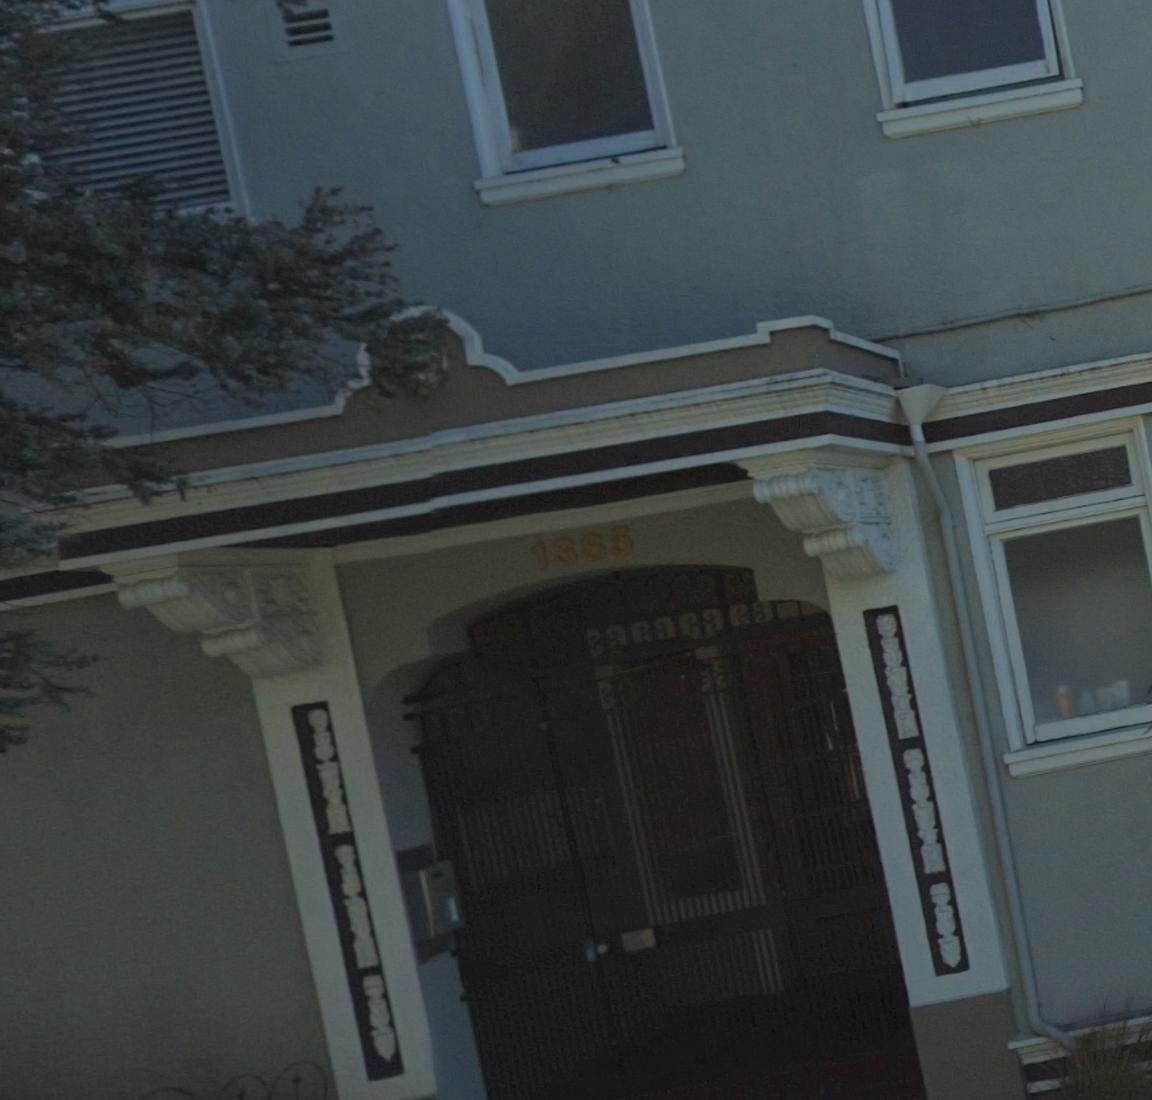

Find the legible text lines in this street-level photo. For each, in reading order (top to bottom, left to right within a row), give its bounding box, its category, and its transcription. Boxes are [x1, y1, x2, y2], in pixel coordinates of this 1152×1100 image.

[523, 522, 639, 575] StreetNumber: 1385